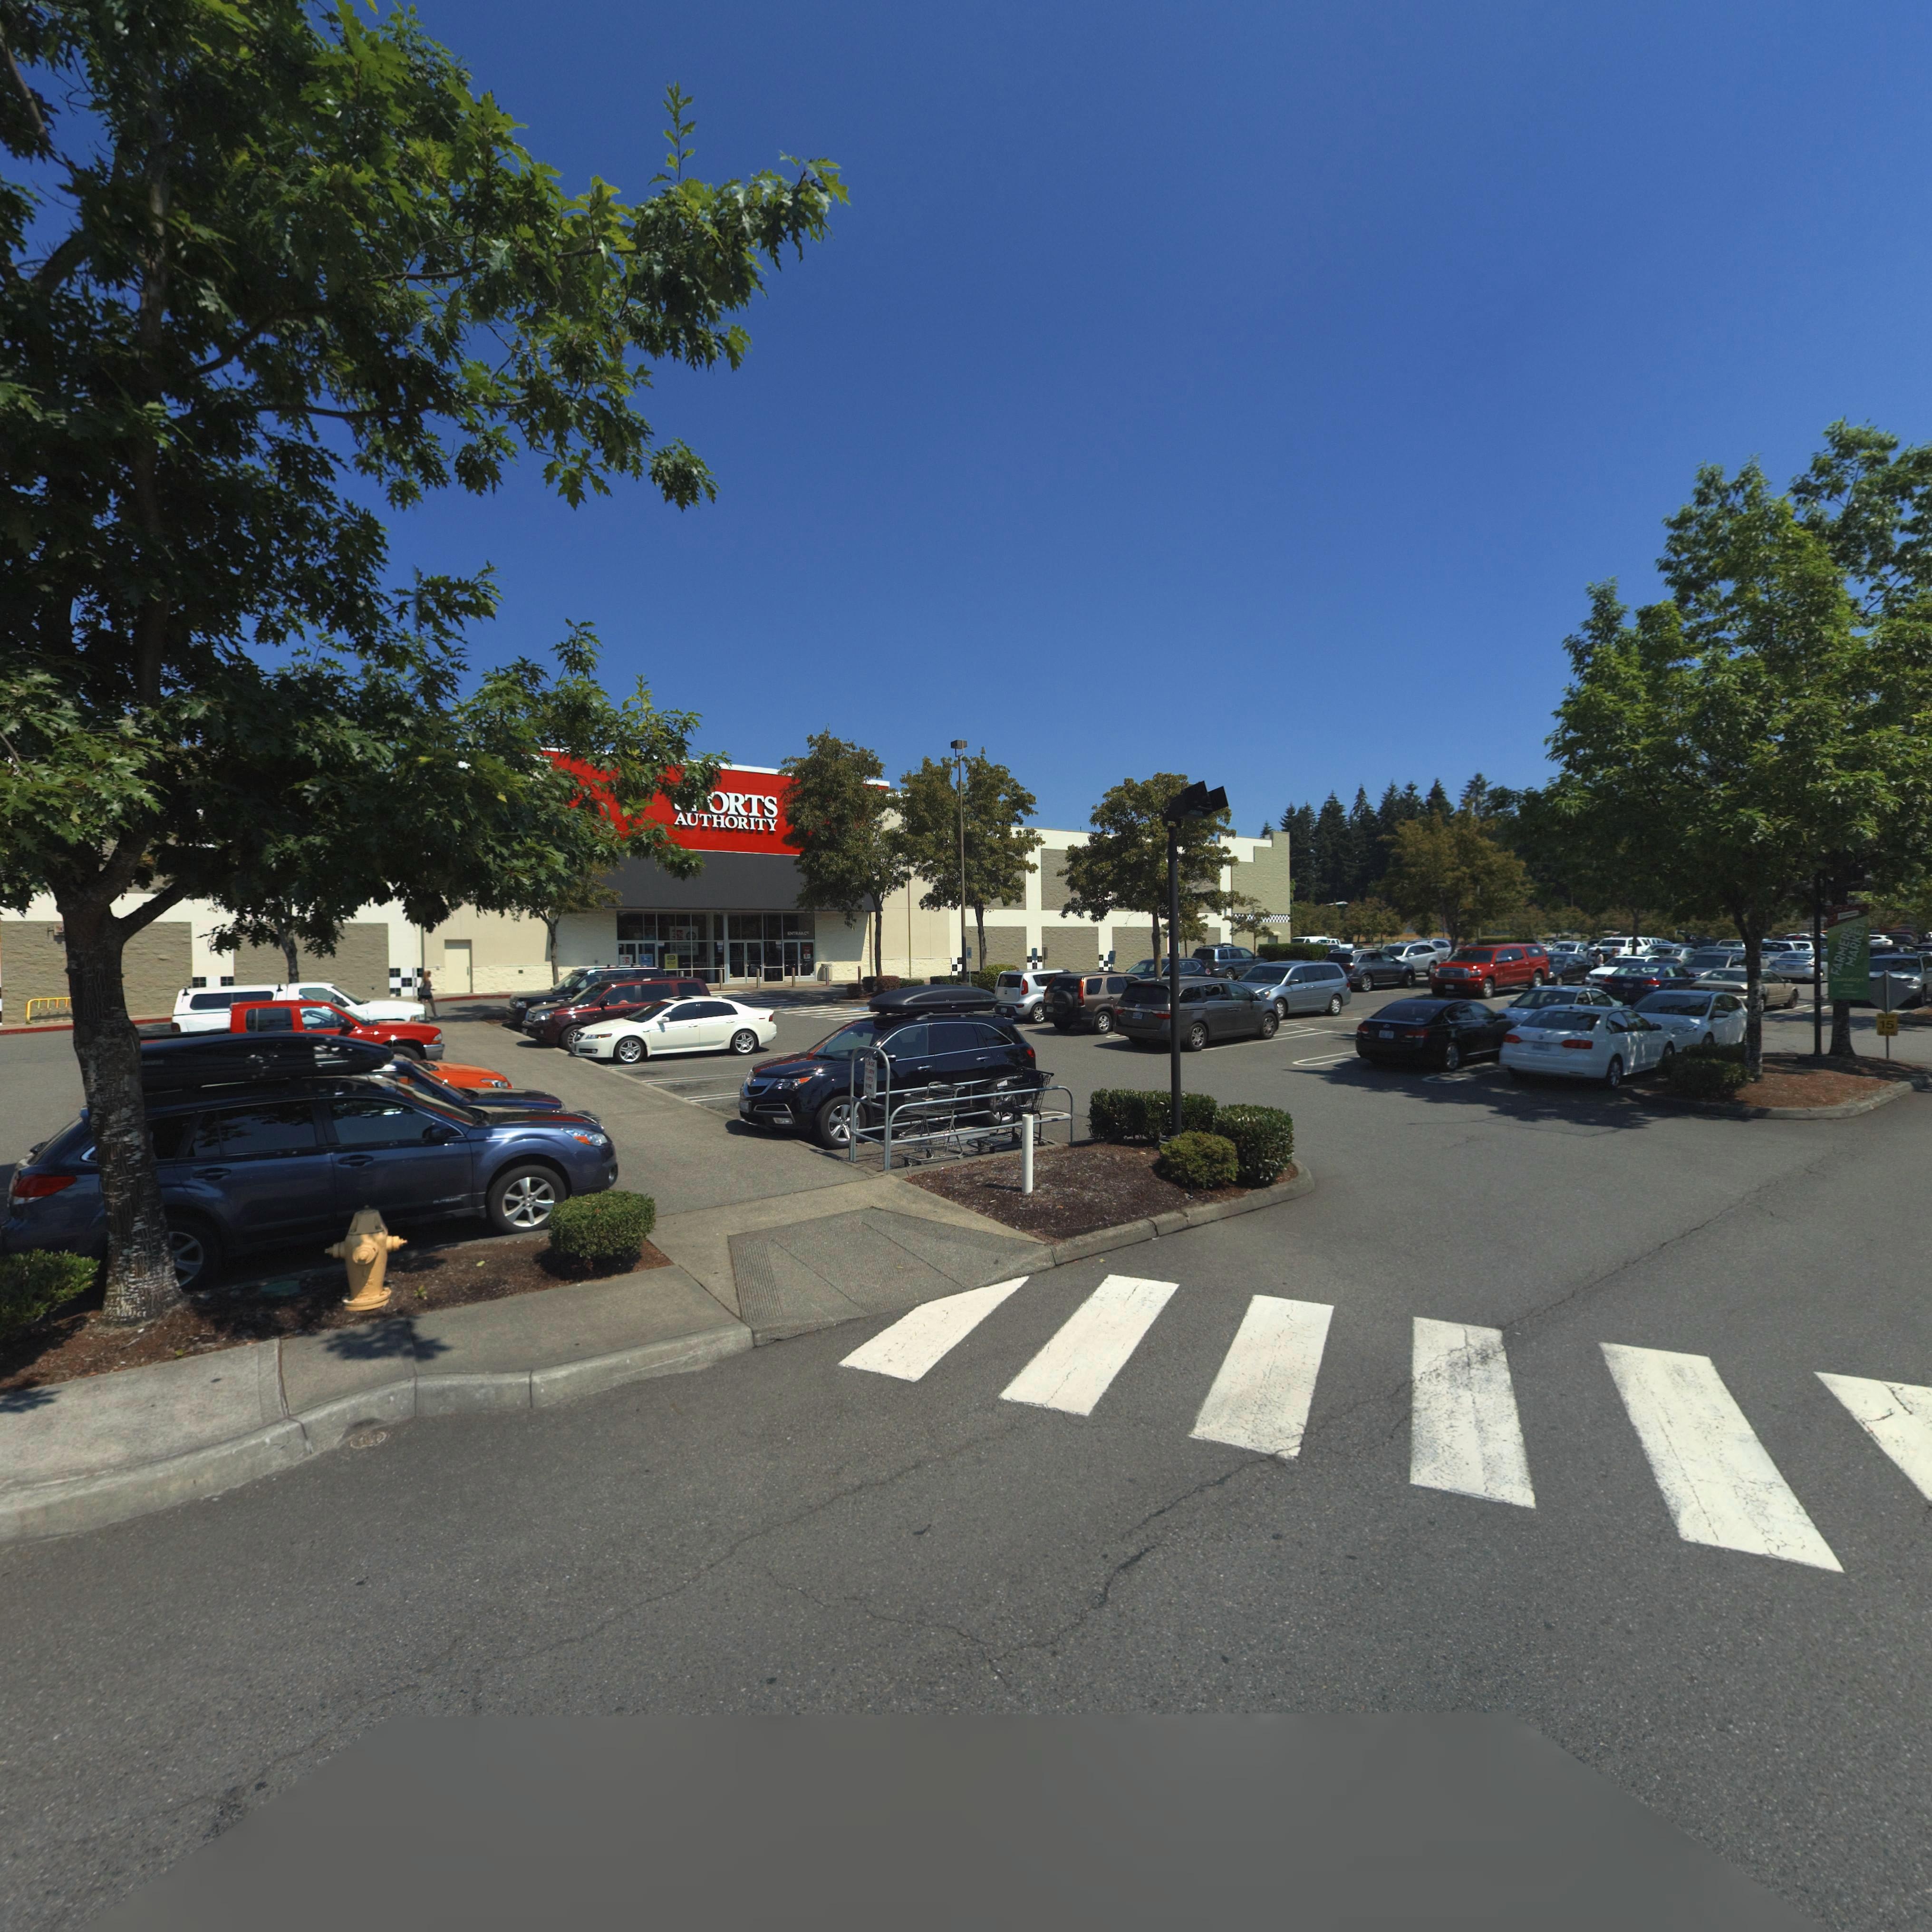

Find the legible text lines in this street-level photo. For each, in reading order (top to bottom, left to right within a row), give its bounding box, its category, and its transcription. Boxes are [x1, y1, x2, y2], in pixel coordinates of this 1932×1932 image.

[707, 790, 778, 817] BusinessName: ORTS
[674, 812, 778, 832] BusinessName: AUTHORITY